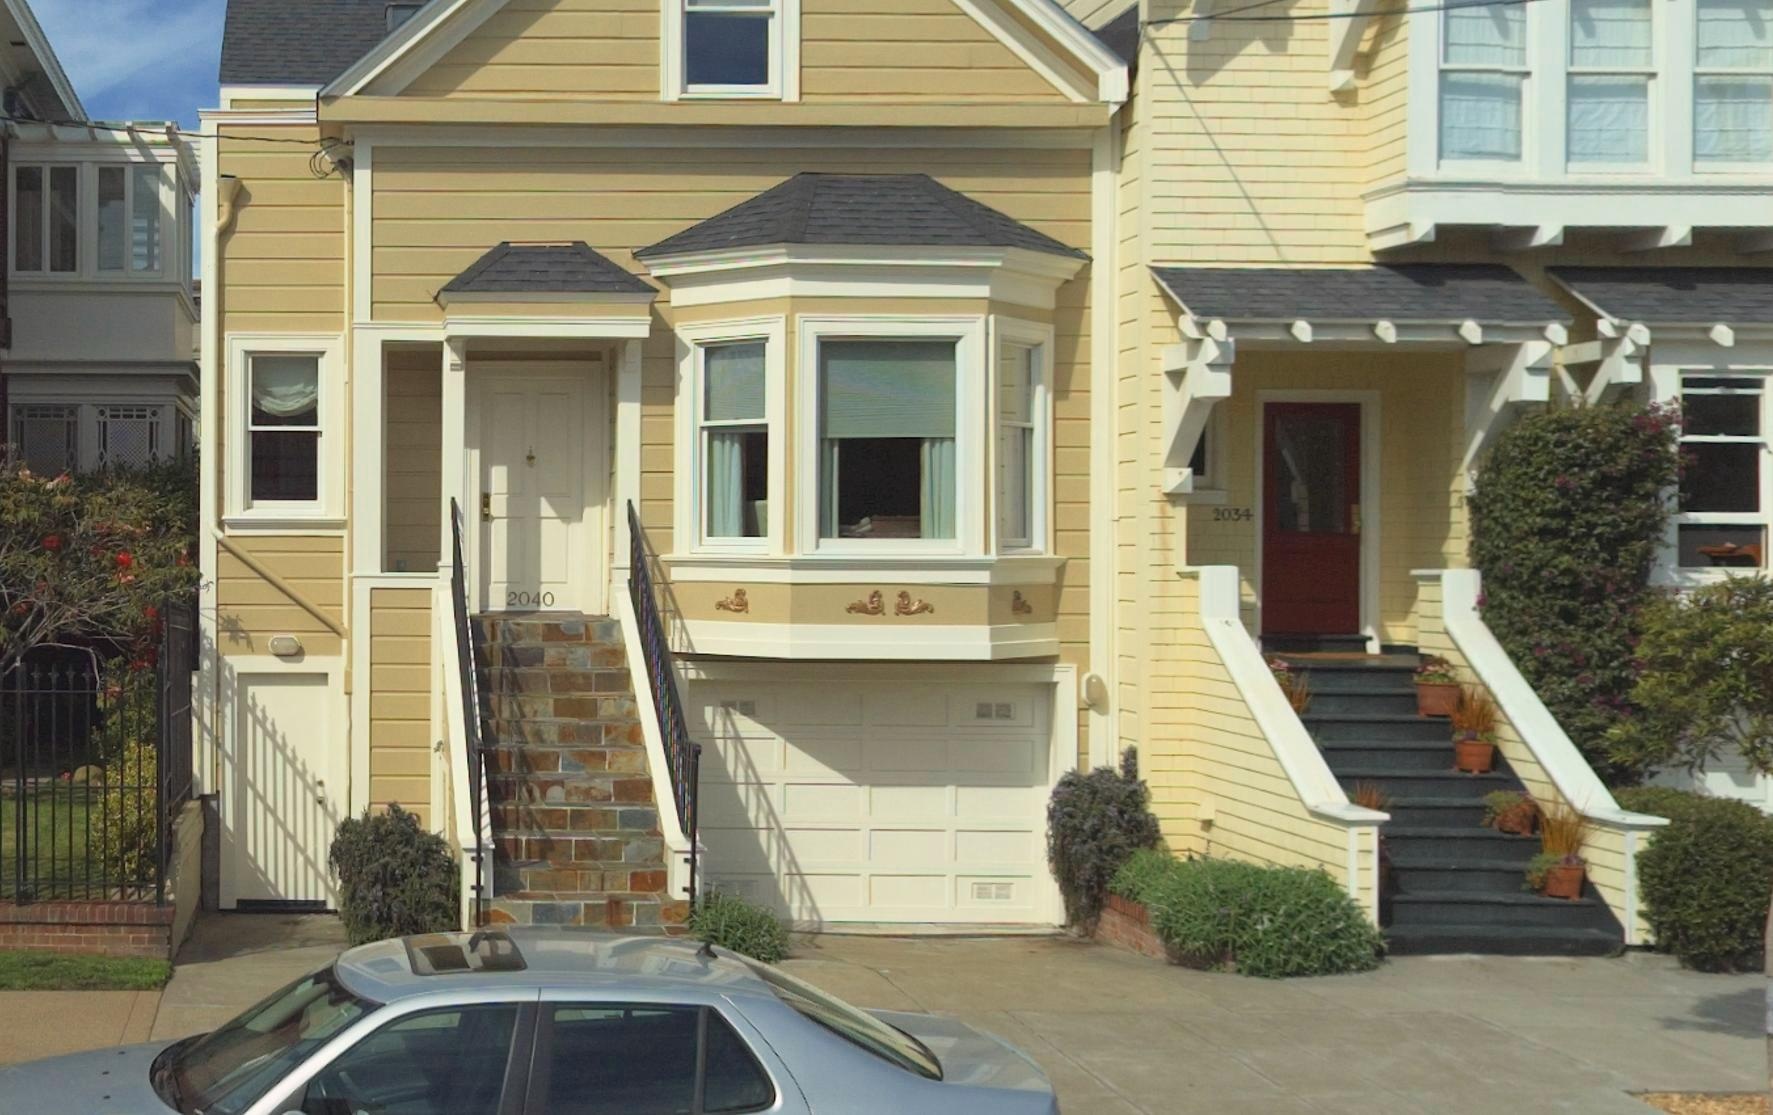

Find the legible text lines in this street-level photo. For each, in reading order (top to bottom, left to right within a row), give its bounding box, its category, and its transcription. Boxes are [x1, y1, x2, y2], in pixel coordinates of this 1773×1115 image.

[1210, 505, 1255, 523] StreetNumber: 2034
[505, 590, 556, 609] StreetNumber: 2040